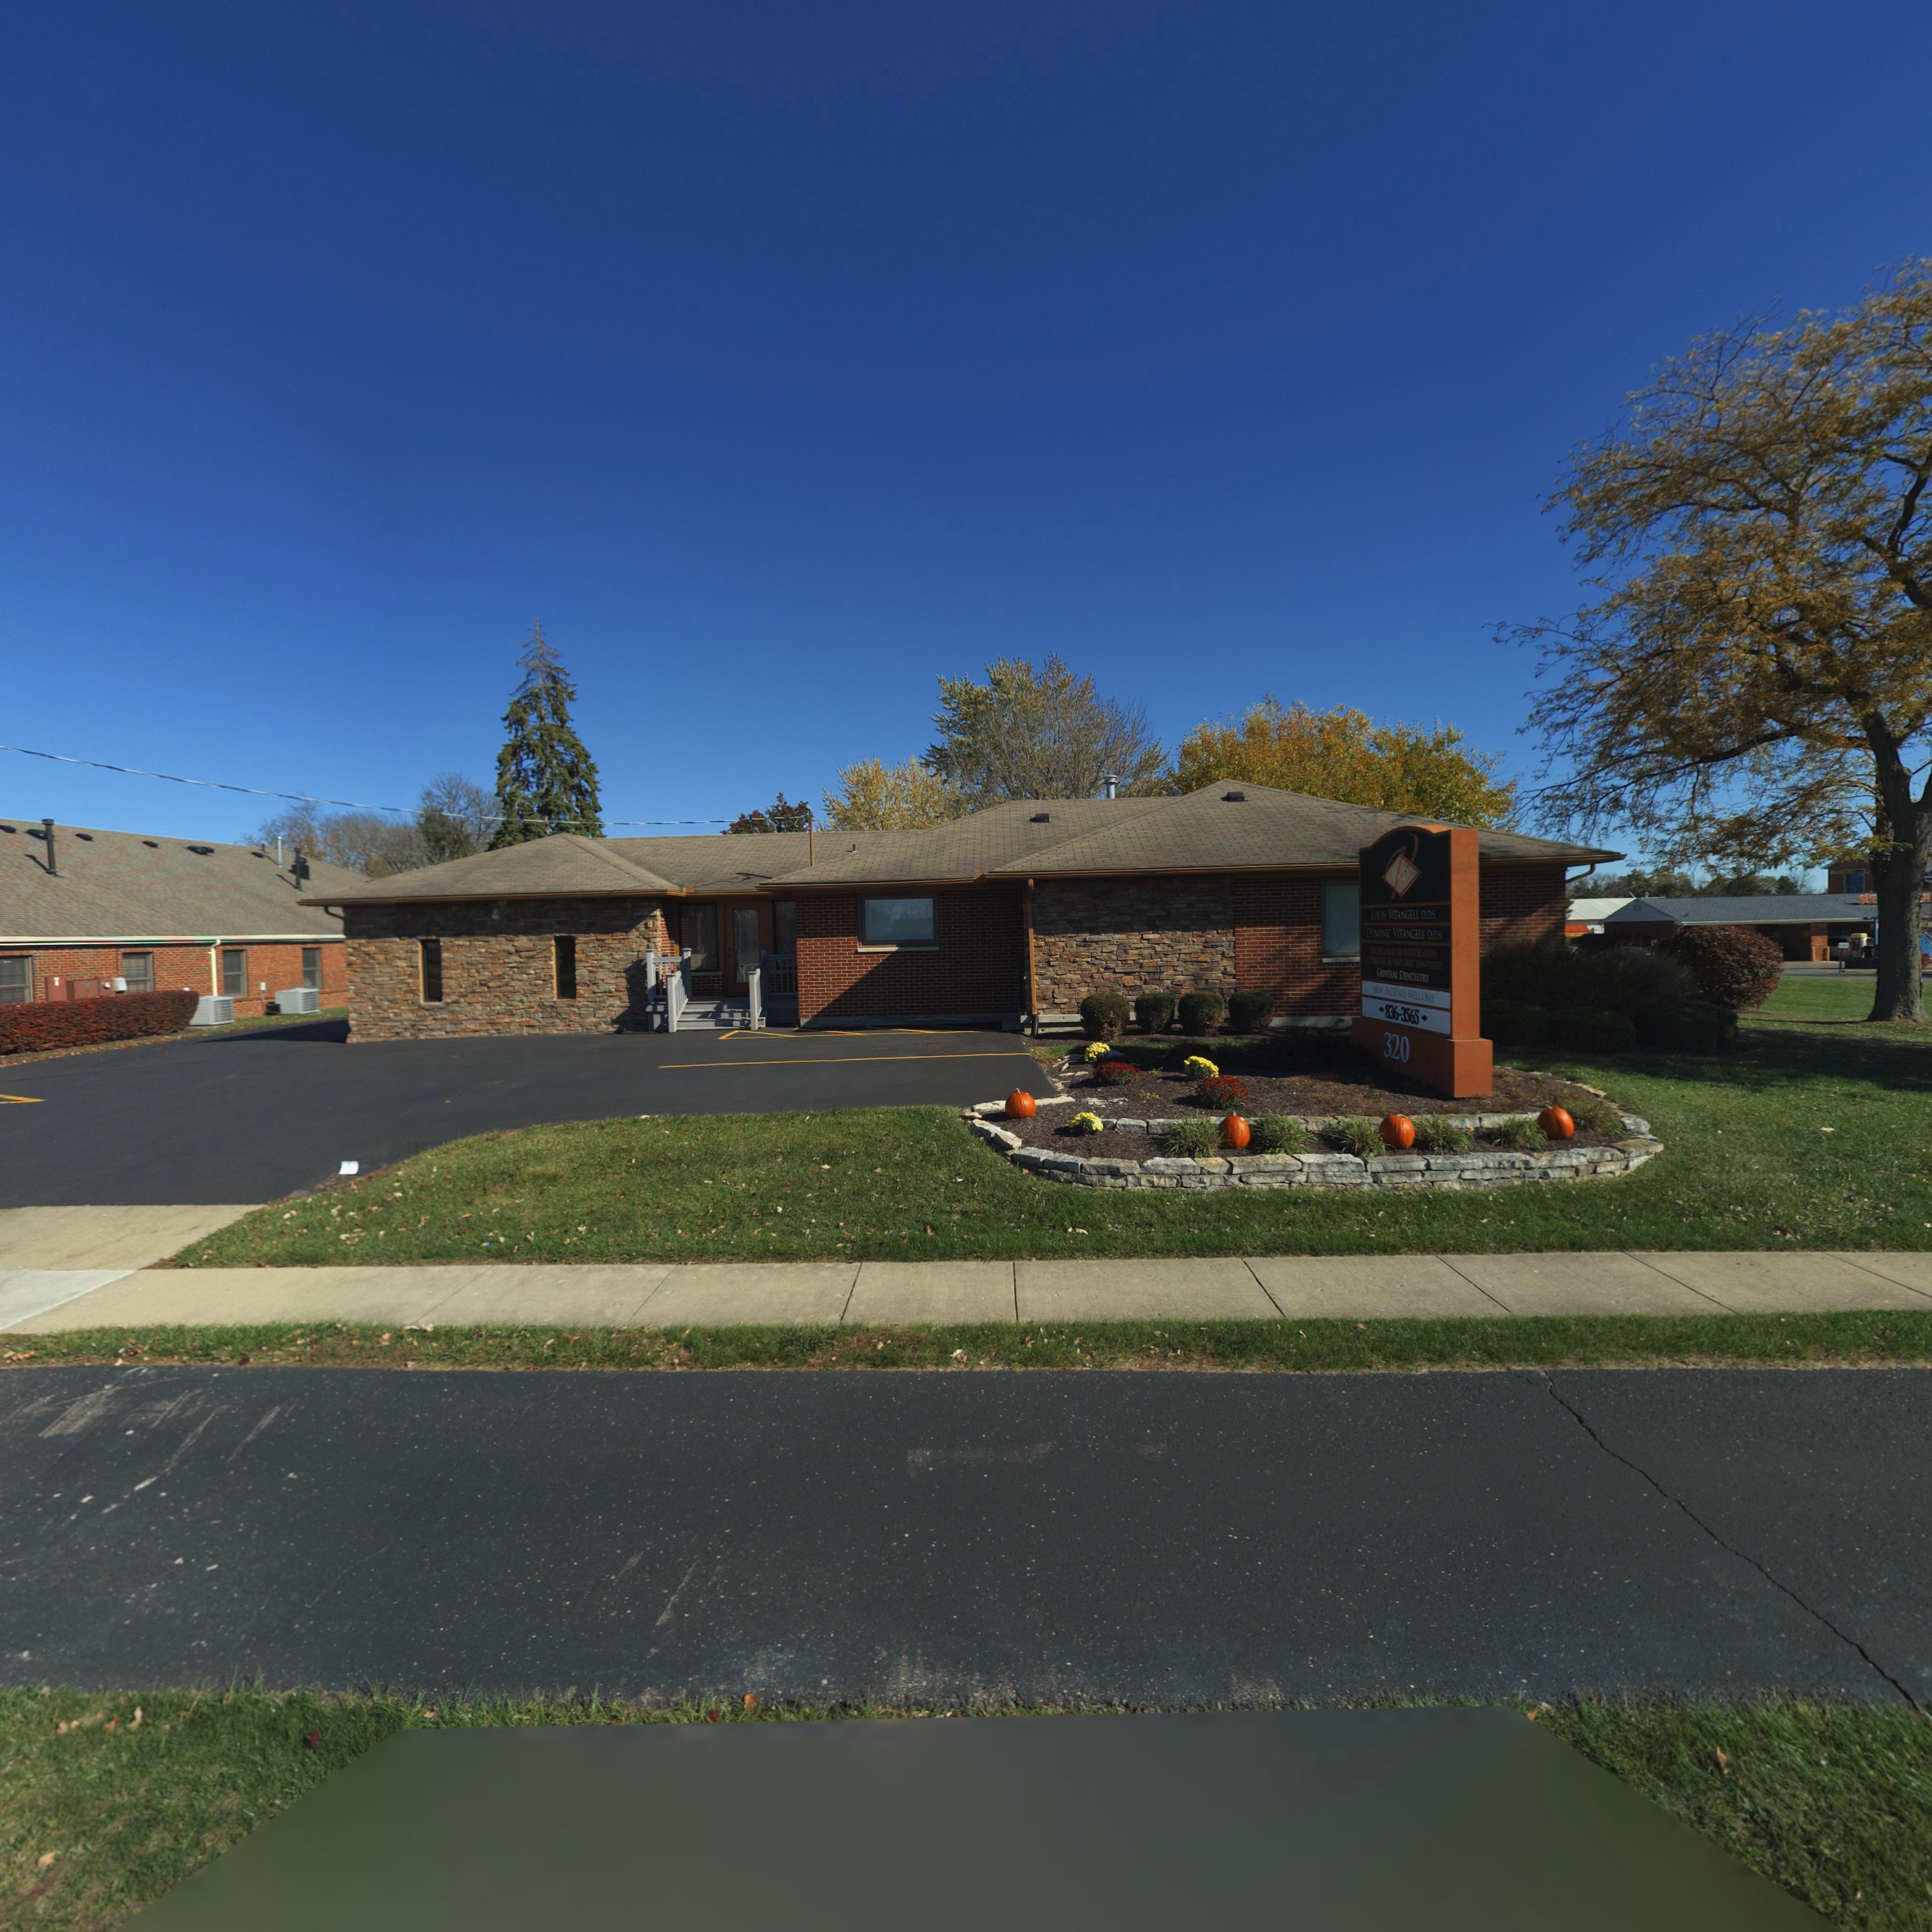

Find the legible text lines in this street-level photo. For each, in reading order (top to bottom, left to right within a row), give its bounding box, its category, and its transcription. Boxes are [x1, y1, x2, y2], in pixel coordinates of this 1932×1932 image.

[1370, 908, 1437, 921] None: LOUIS VITANGELL DDS
[1365, 926, 1444, 940] None: DOMINIC VITANGELL DDS
[1369, 945, 1439, 959] None: EXCELLENCE IN RESTORATIVE
[1364, 955, 1446, 971] None: COSMETIC & IMPLANT DENTISTRY
[1375, 967, 1431, 984] None: GENERAL DENTISTRY
[1371, 984, 1436, 1004] None: NEW PATIENTS WELCOME
[1384, 1003, 1420, 1026] None: 836-3565
[1382, 1031, 1410, 1065] StreetNumber: 320